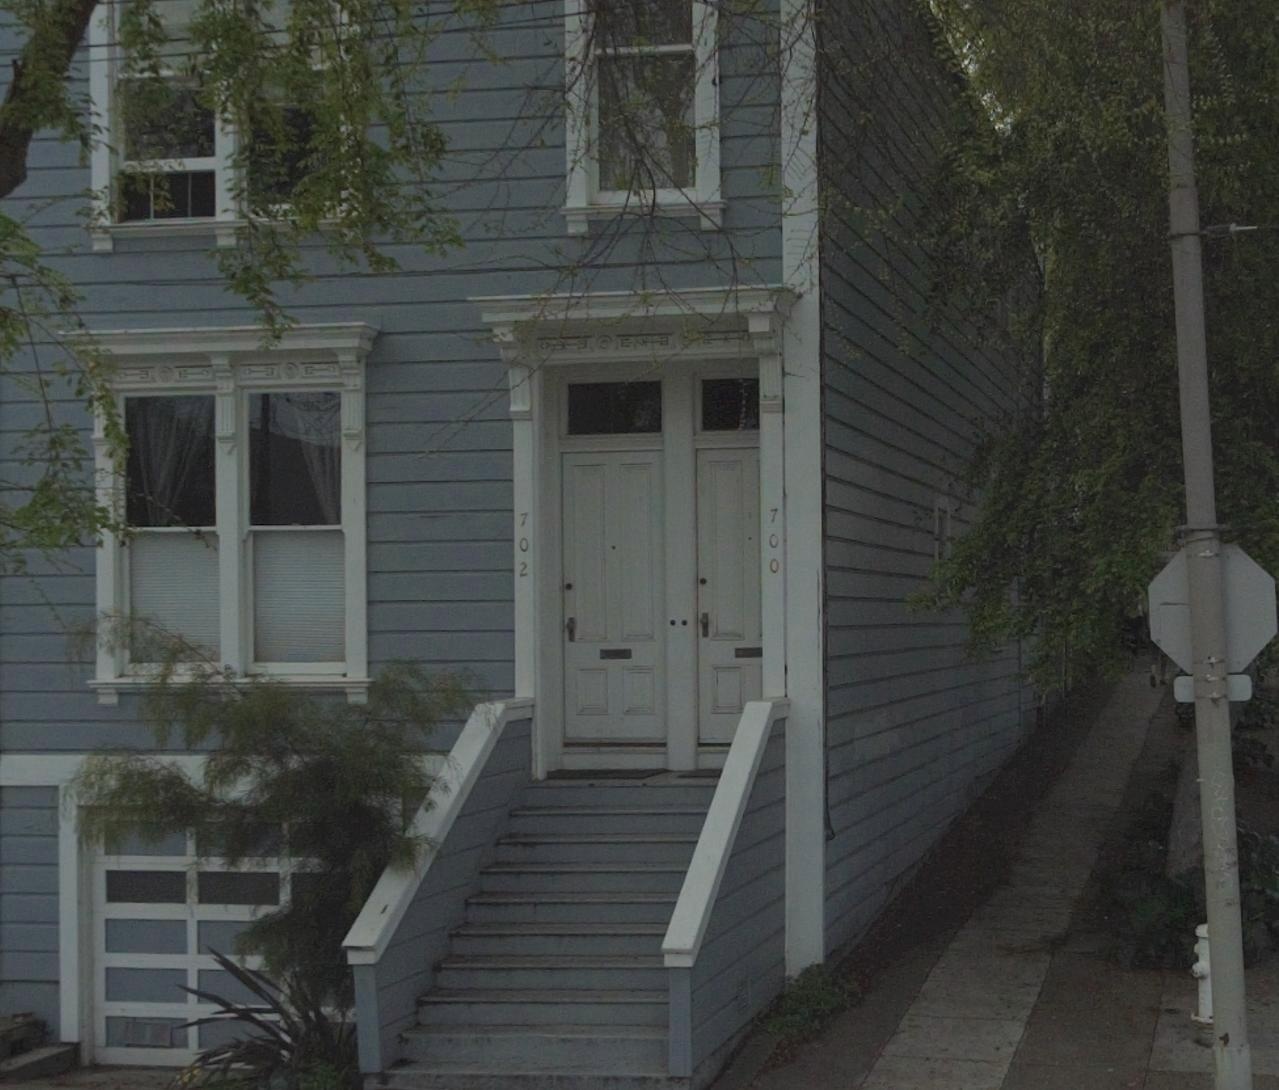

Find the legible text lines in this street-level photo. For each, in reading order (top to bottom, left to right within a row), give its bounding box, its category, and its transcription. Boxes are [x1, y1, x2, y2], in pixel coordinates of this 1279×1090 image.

[517, 510, 531, 579] StreetNumber: 702
[766, 505, 780, 576] StreetNumber: 700